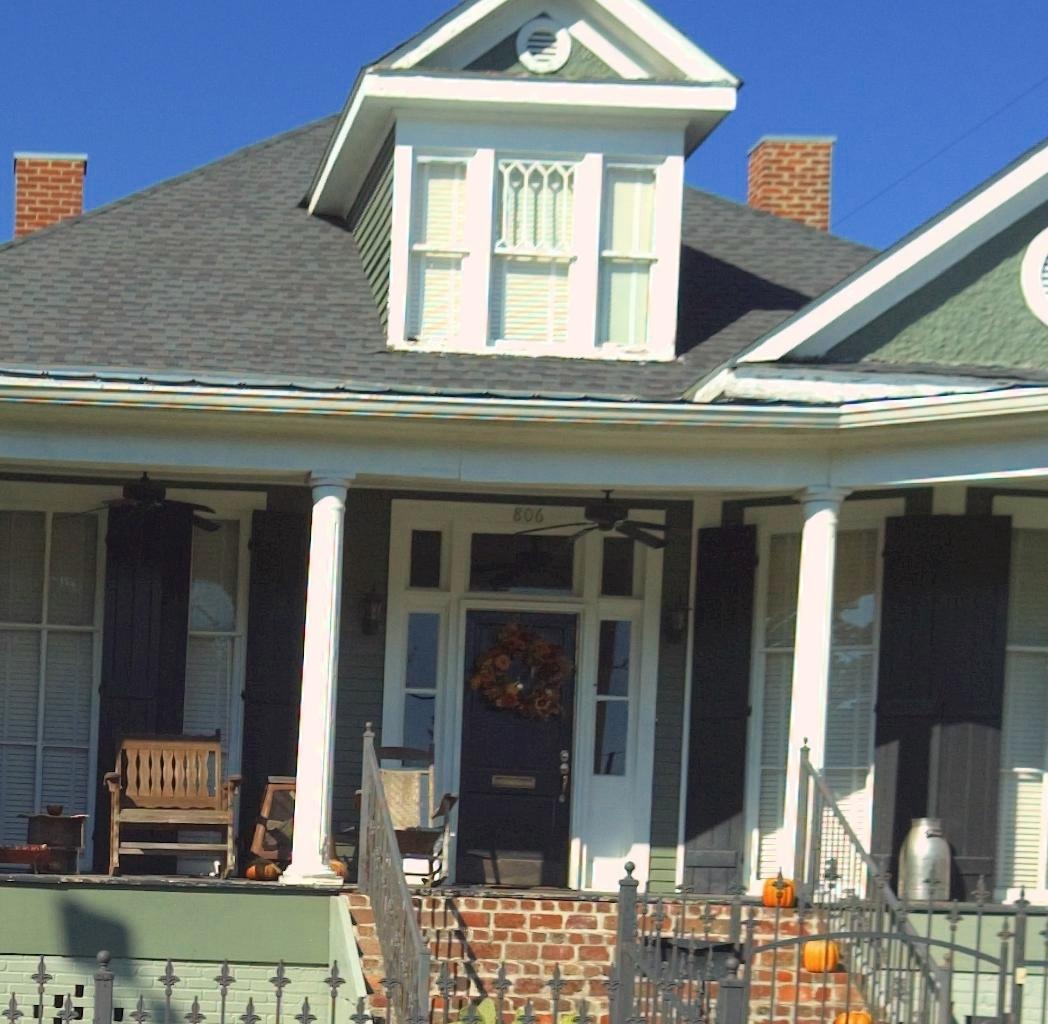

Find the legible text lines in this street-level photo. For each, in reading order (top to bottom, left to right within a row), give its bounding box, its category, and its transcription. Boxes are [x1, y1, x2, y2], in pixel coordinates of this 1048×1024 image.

[511, 505, 548, 526] StreetNumber: 806